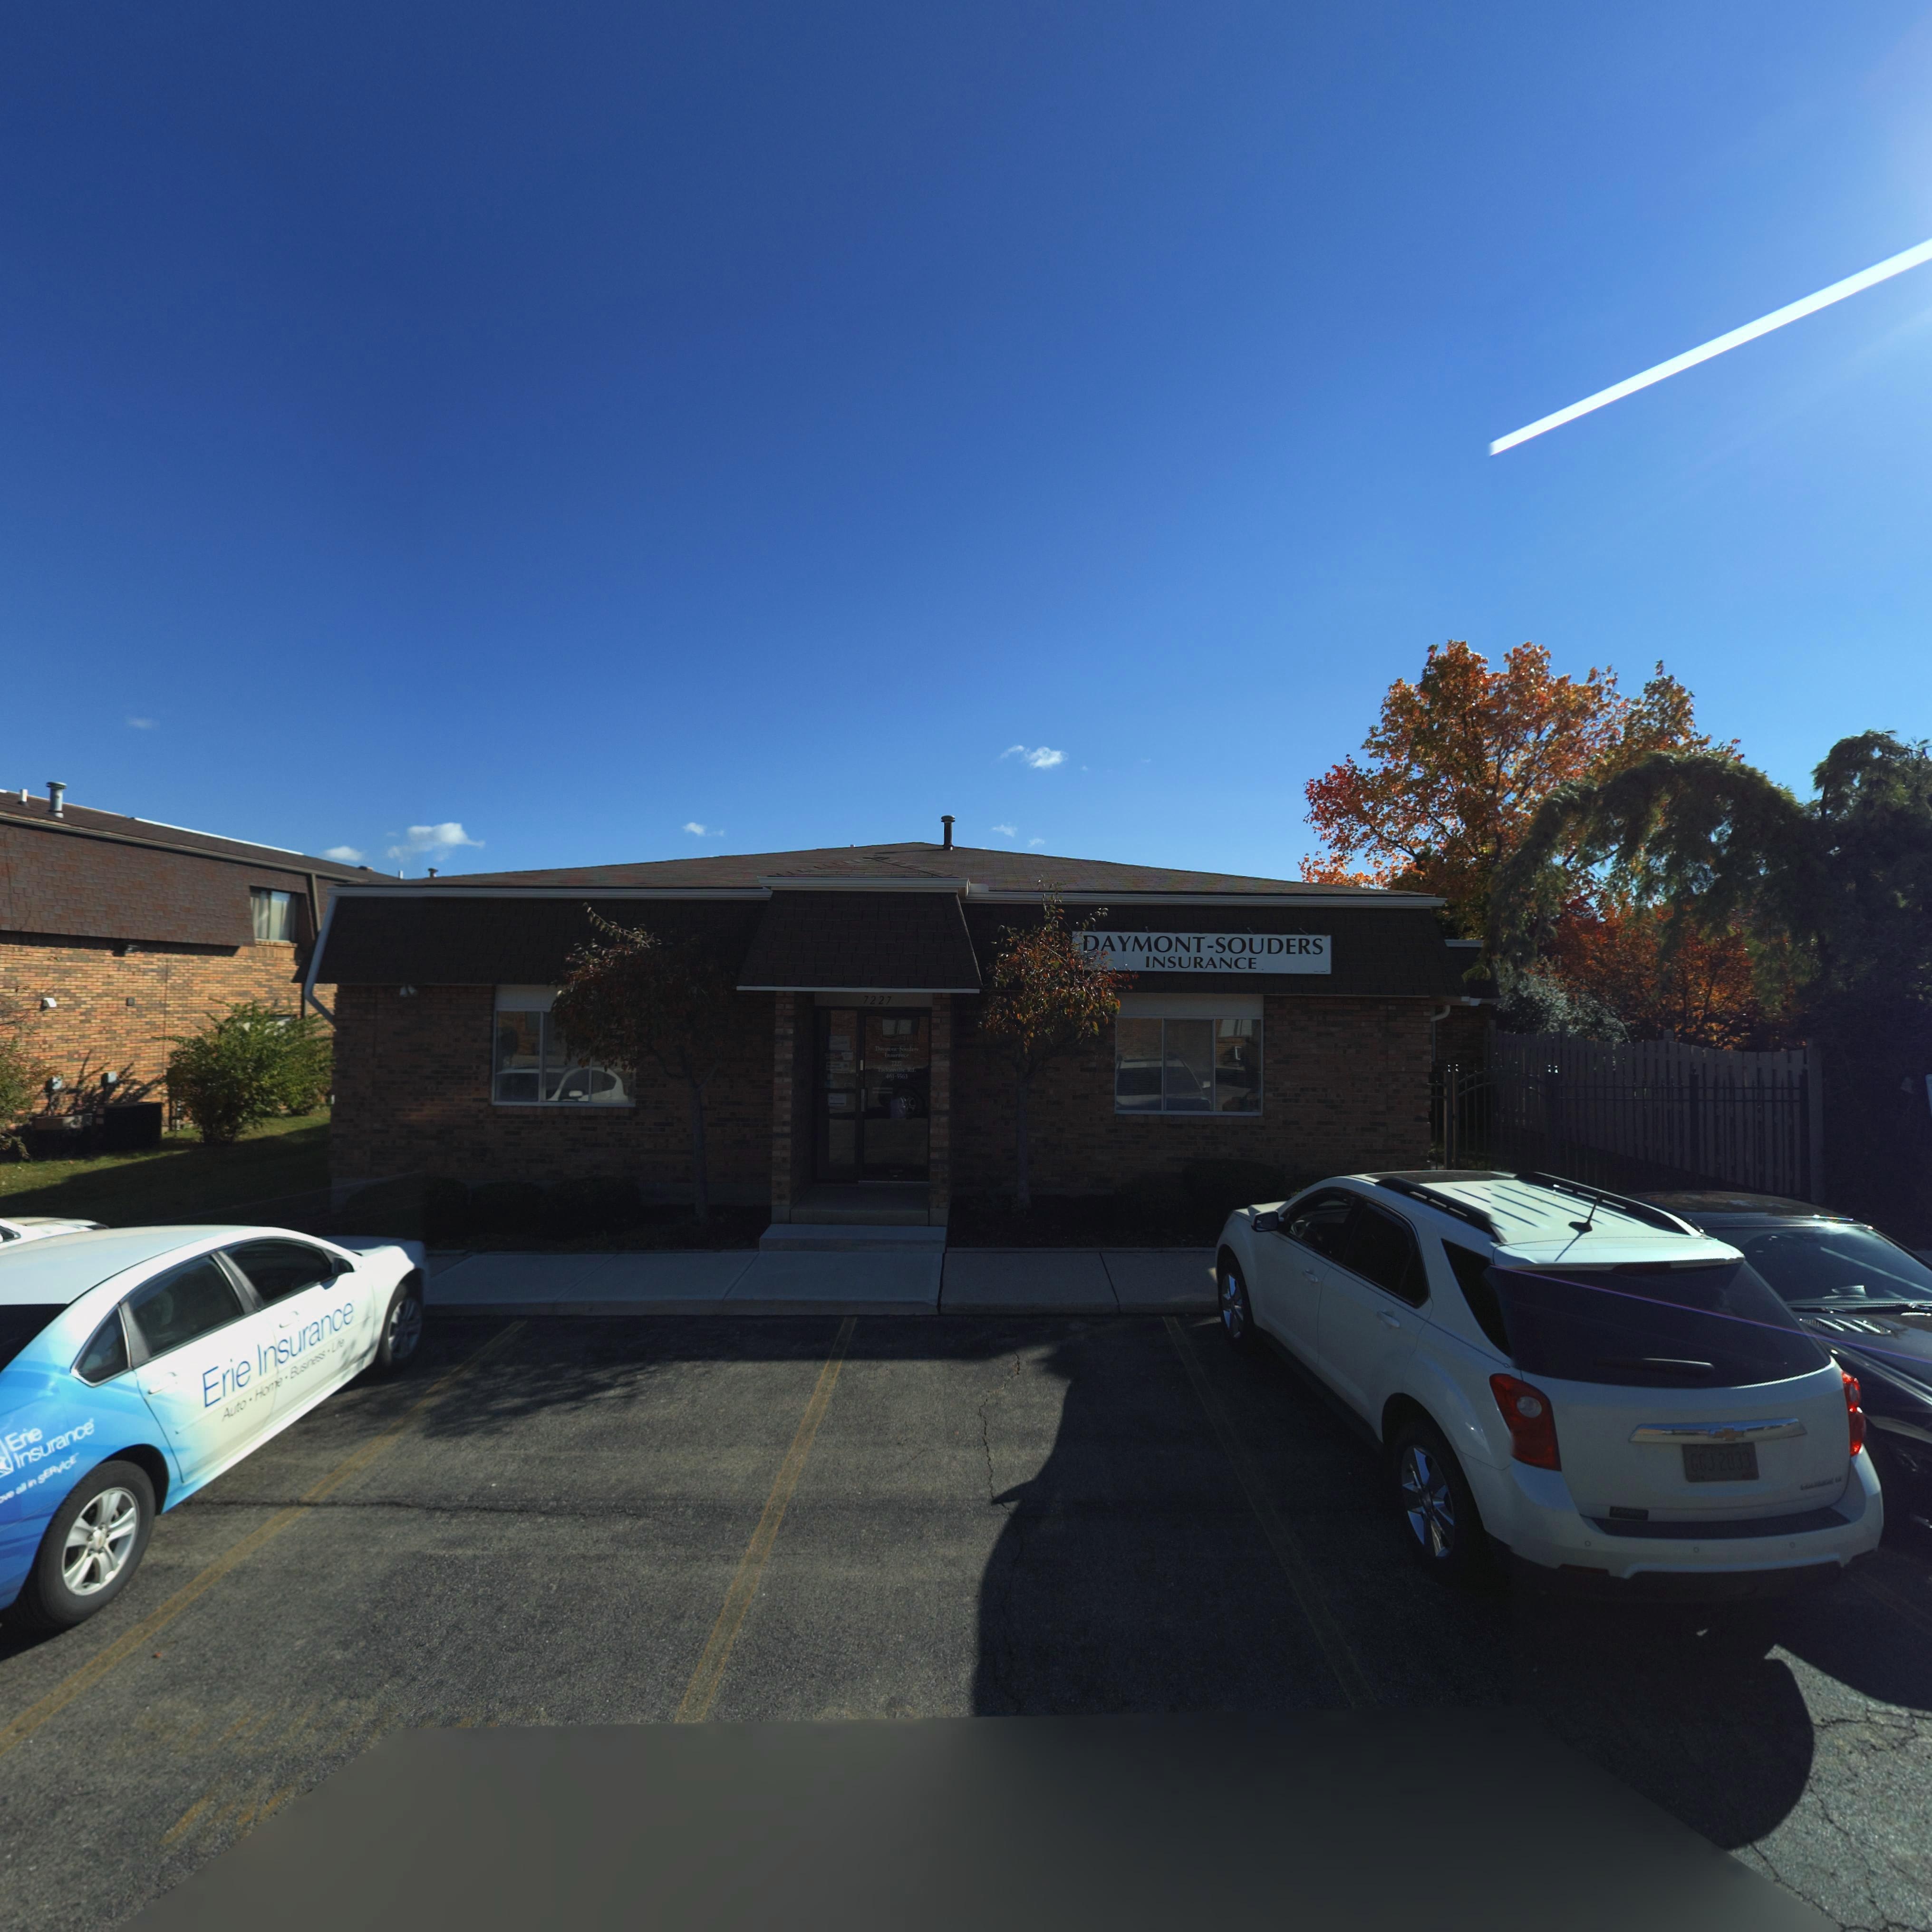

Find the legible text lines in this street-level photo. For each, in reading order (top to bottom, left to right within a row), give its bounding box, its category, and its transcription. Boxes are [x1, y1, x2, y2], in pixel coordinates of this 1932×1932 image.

[1082, 934, 1323, 956] BusinessName: DAYMONT-SOUDERS
[1144, 955, 1258, 970] BusinessName: INSURANCE
[862, 995, 892, 1005] StreetNumber: 7227
[891, 1061, 903, 1067] StreetNumber: 7227